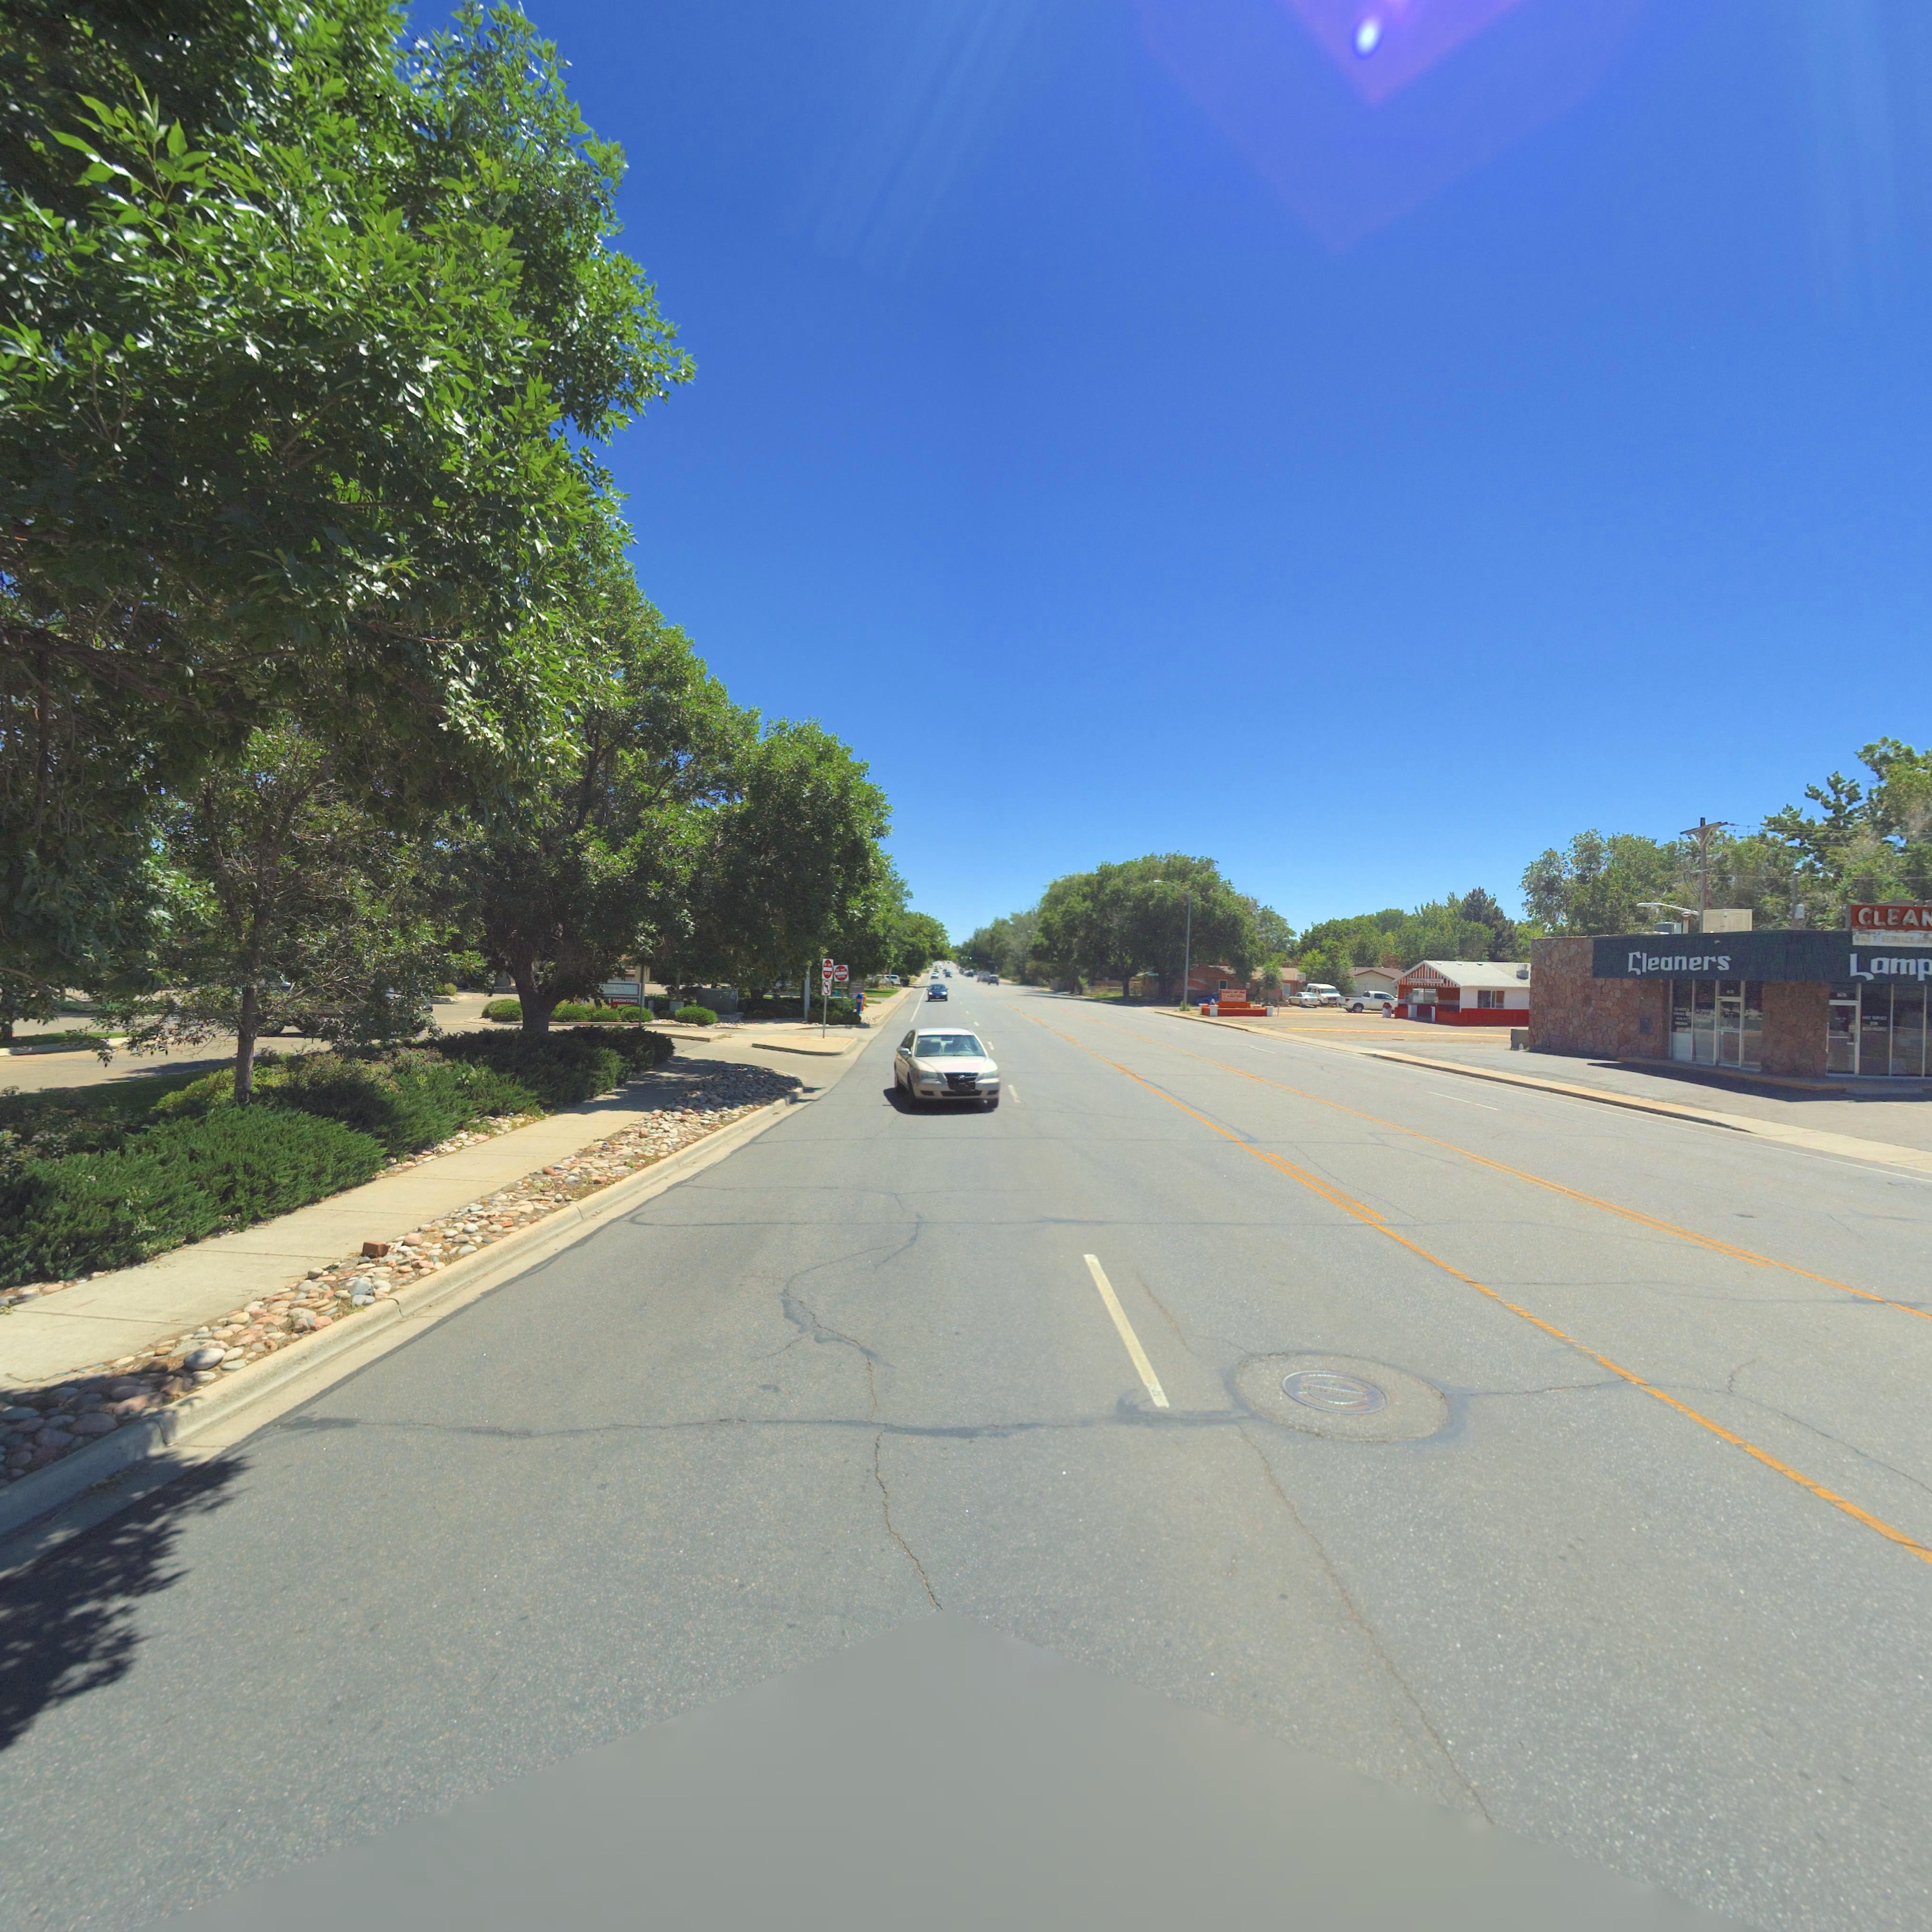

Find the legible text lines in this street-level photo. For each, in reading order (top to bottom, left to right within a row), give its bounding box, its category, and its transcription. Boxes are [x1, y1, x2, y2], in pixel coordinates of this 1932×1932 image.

[1847, 952, 1932, 983] BusinessName: Lamp
[612, 998, 638, 1003] BusinessName: SHOWTIM*